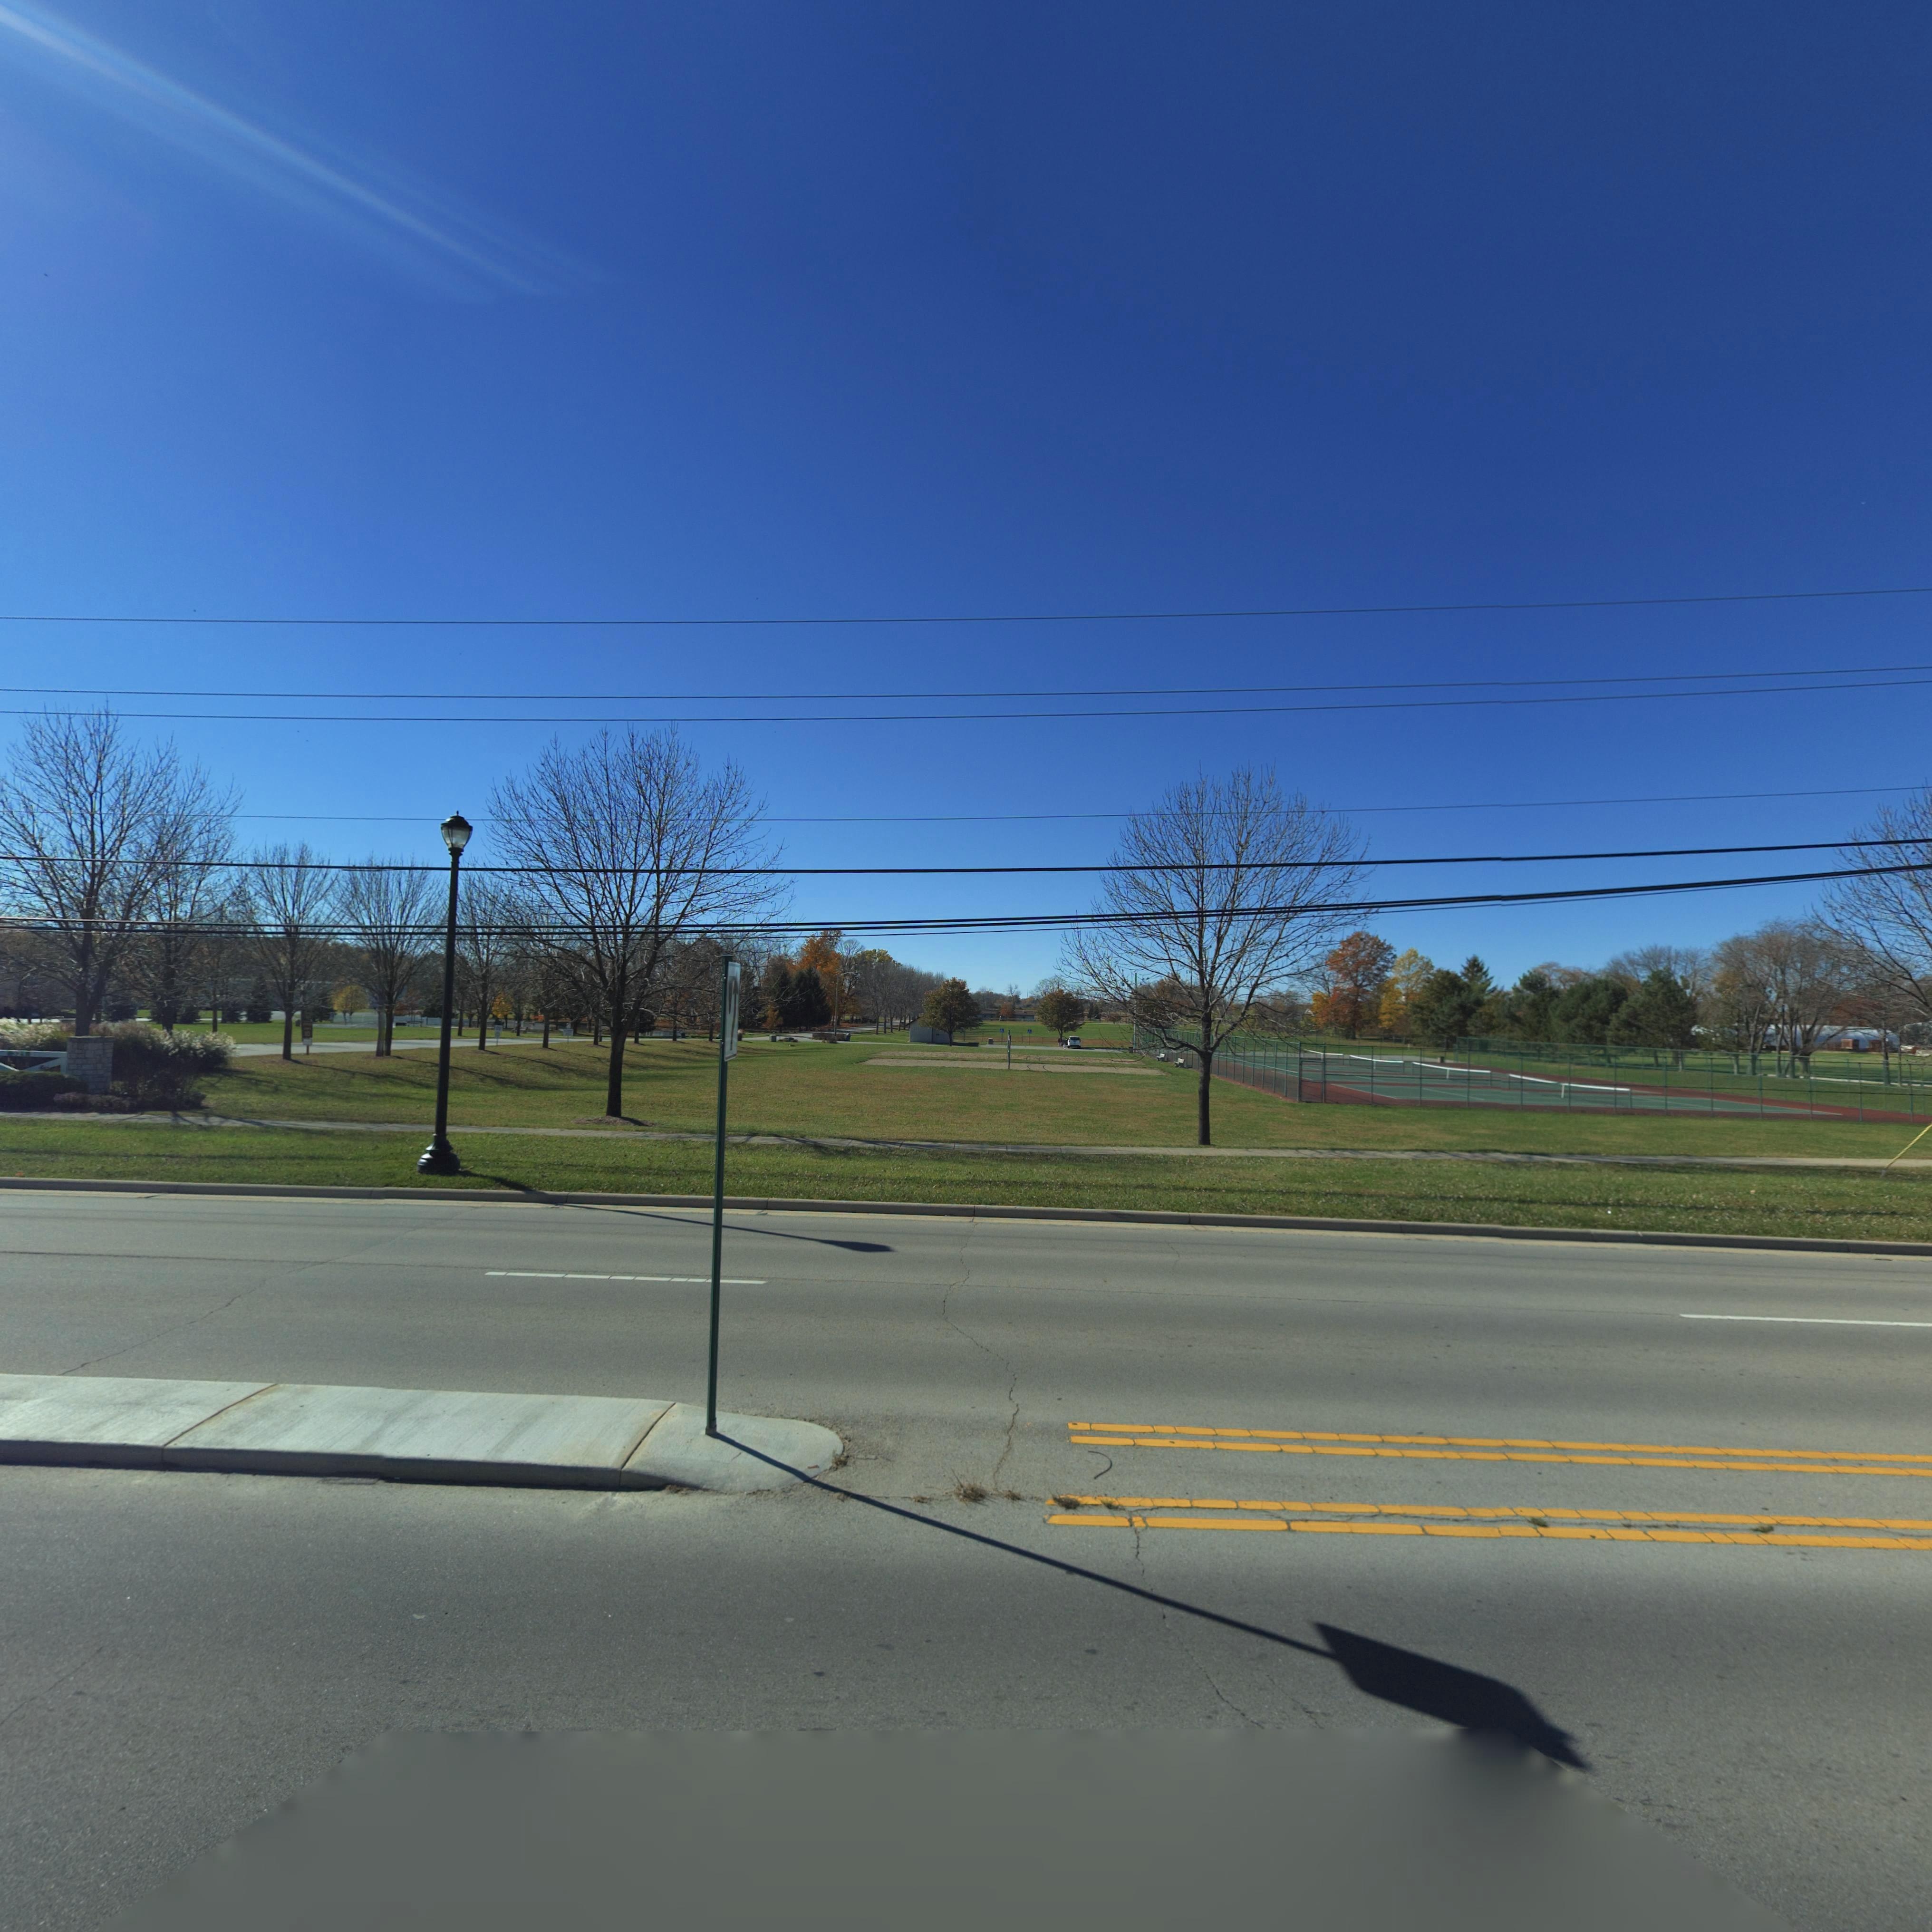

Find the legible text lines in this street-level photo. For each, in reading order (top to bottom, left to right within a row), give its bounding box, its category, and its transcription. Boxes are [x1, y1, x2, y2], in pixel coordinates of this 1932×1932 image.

[10, 1050, 27, 1057] StreetNumber: 321